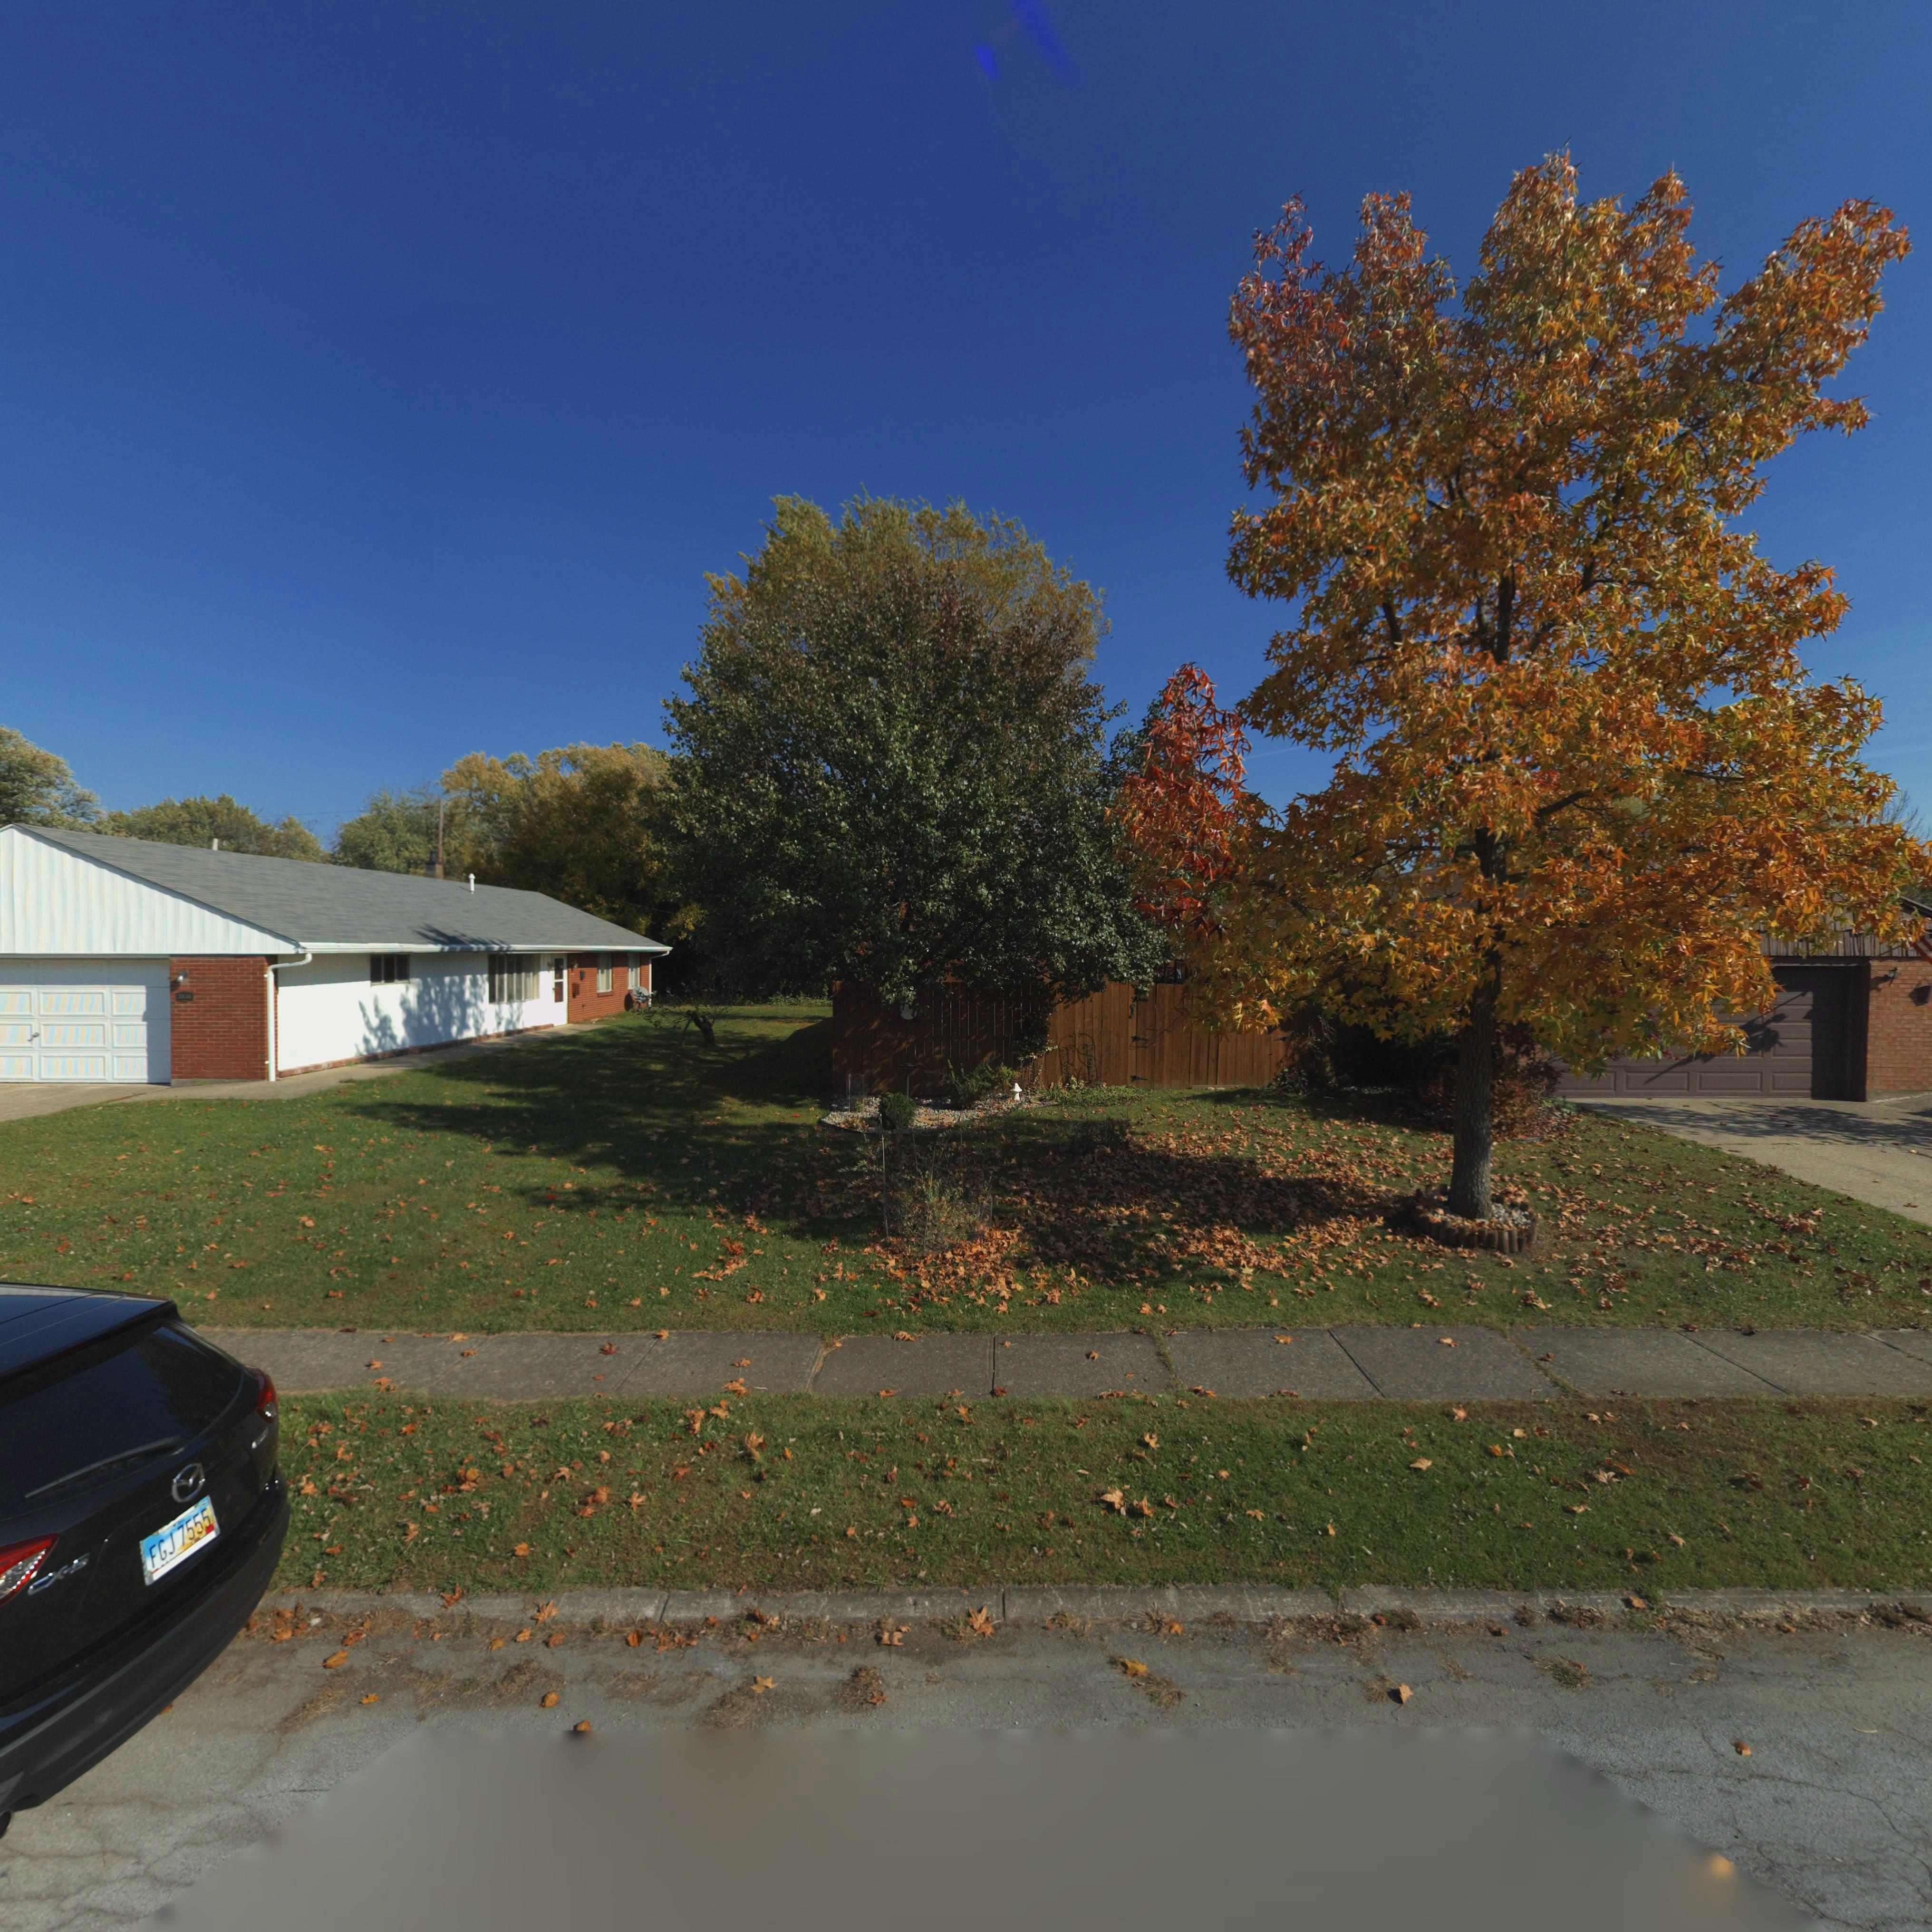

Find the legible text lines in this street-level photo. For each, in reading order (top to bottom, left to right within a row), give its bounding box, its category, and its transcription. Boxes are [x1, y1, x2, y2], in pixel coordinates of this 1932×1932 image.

[177, 993, 193, 999] StreetNumber: *85*
[148, 1506, 213, 1571] None: FGJ*7555
[25, 1550, 91, 1599] None: CX-5